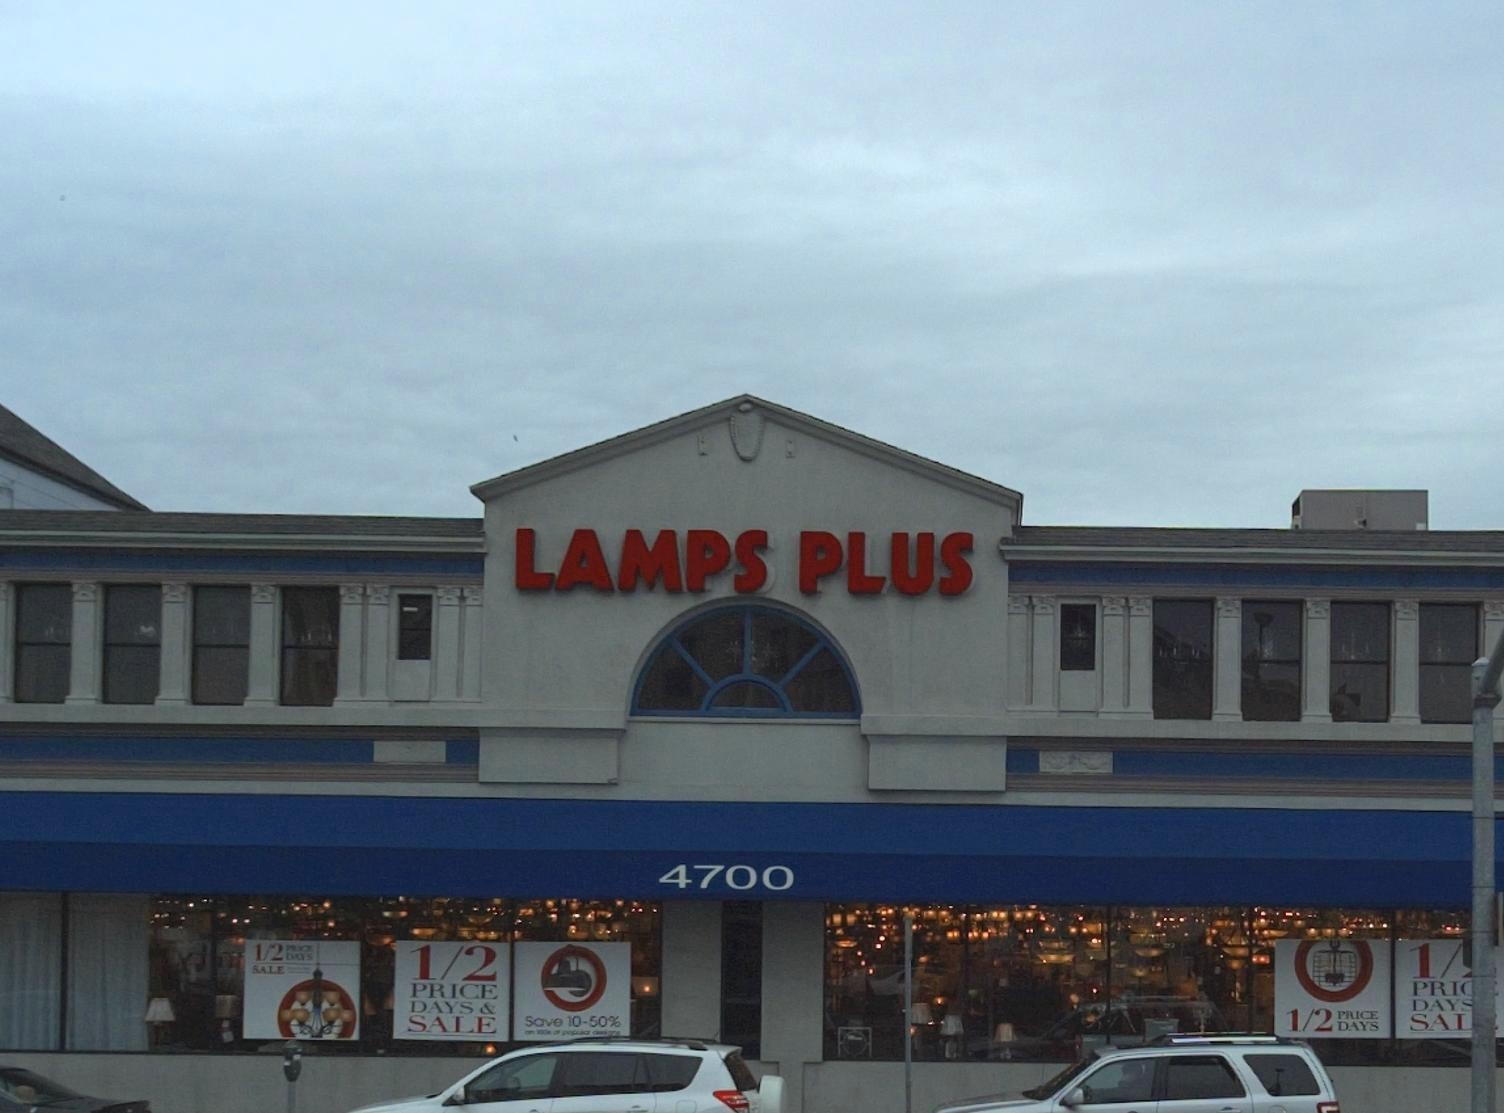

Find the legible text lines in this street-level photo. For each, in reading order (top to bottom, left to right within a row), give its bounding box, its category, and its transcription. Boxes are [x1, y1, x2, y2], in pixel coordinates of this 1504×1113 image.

[512, 524, 978, 600] BusinessName: LAMPS PLUS
[656, 860, 799, 896] StreetNumber: 4700
[249, 963, 286, 976] None: SALE
[253, 941, 285, 963] None: 1/2
[406, 942, 501, 984] None: 1/2
[1407, 940, 1438, 981] None: 1
[407, 980, 500, 1002] None: PRICE
[1408, 979, 1463, 997] None: PRI
[405, 1013, 499, 1037] None: SALE
[406, 998, 499, 1017] None: DAYS &
[522, 1013, 623, 1029] None: Save 10-50%
[1284, 1006, 1335, 1034] None: 1/2
[1335, 1020, 1380, 1033] None: DAYS
[1336, 1009, 1380, 1020] None: PRICE
[1407, 1012, 1455, 1034] None: SA
[1408, 997, 1461, 1013] None: DAY